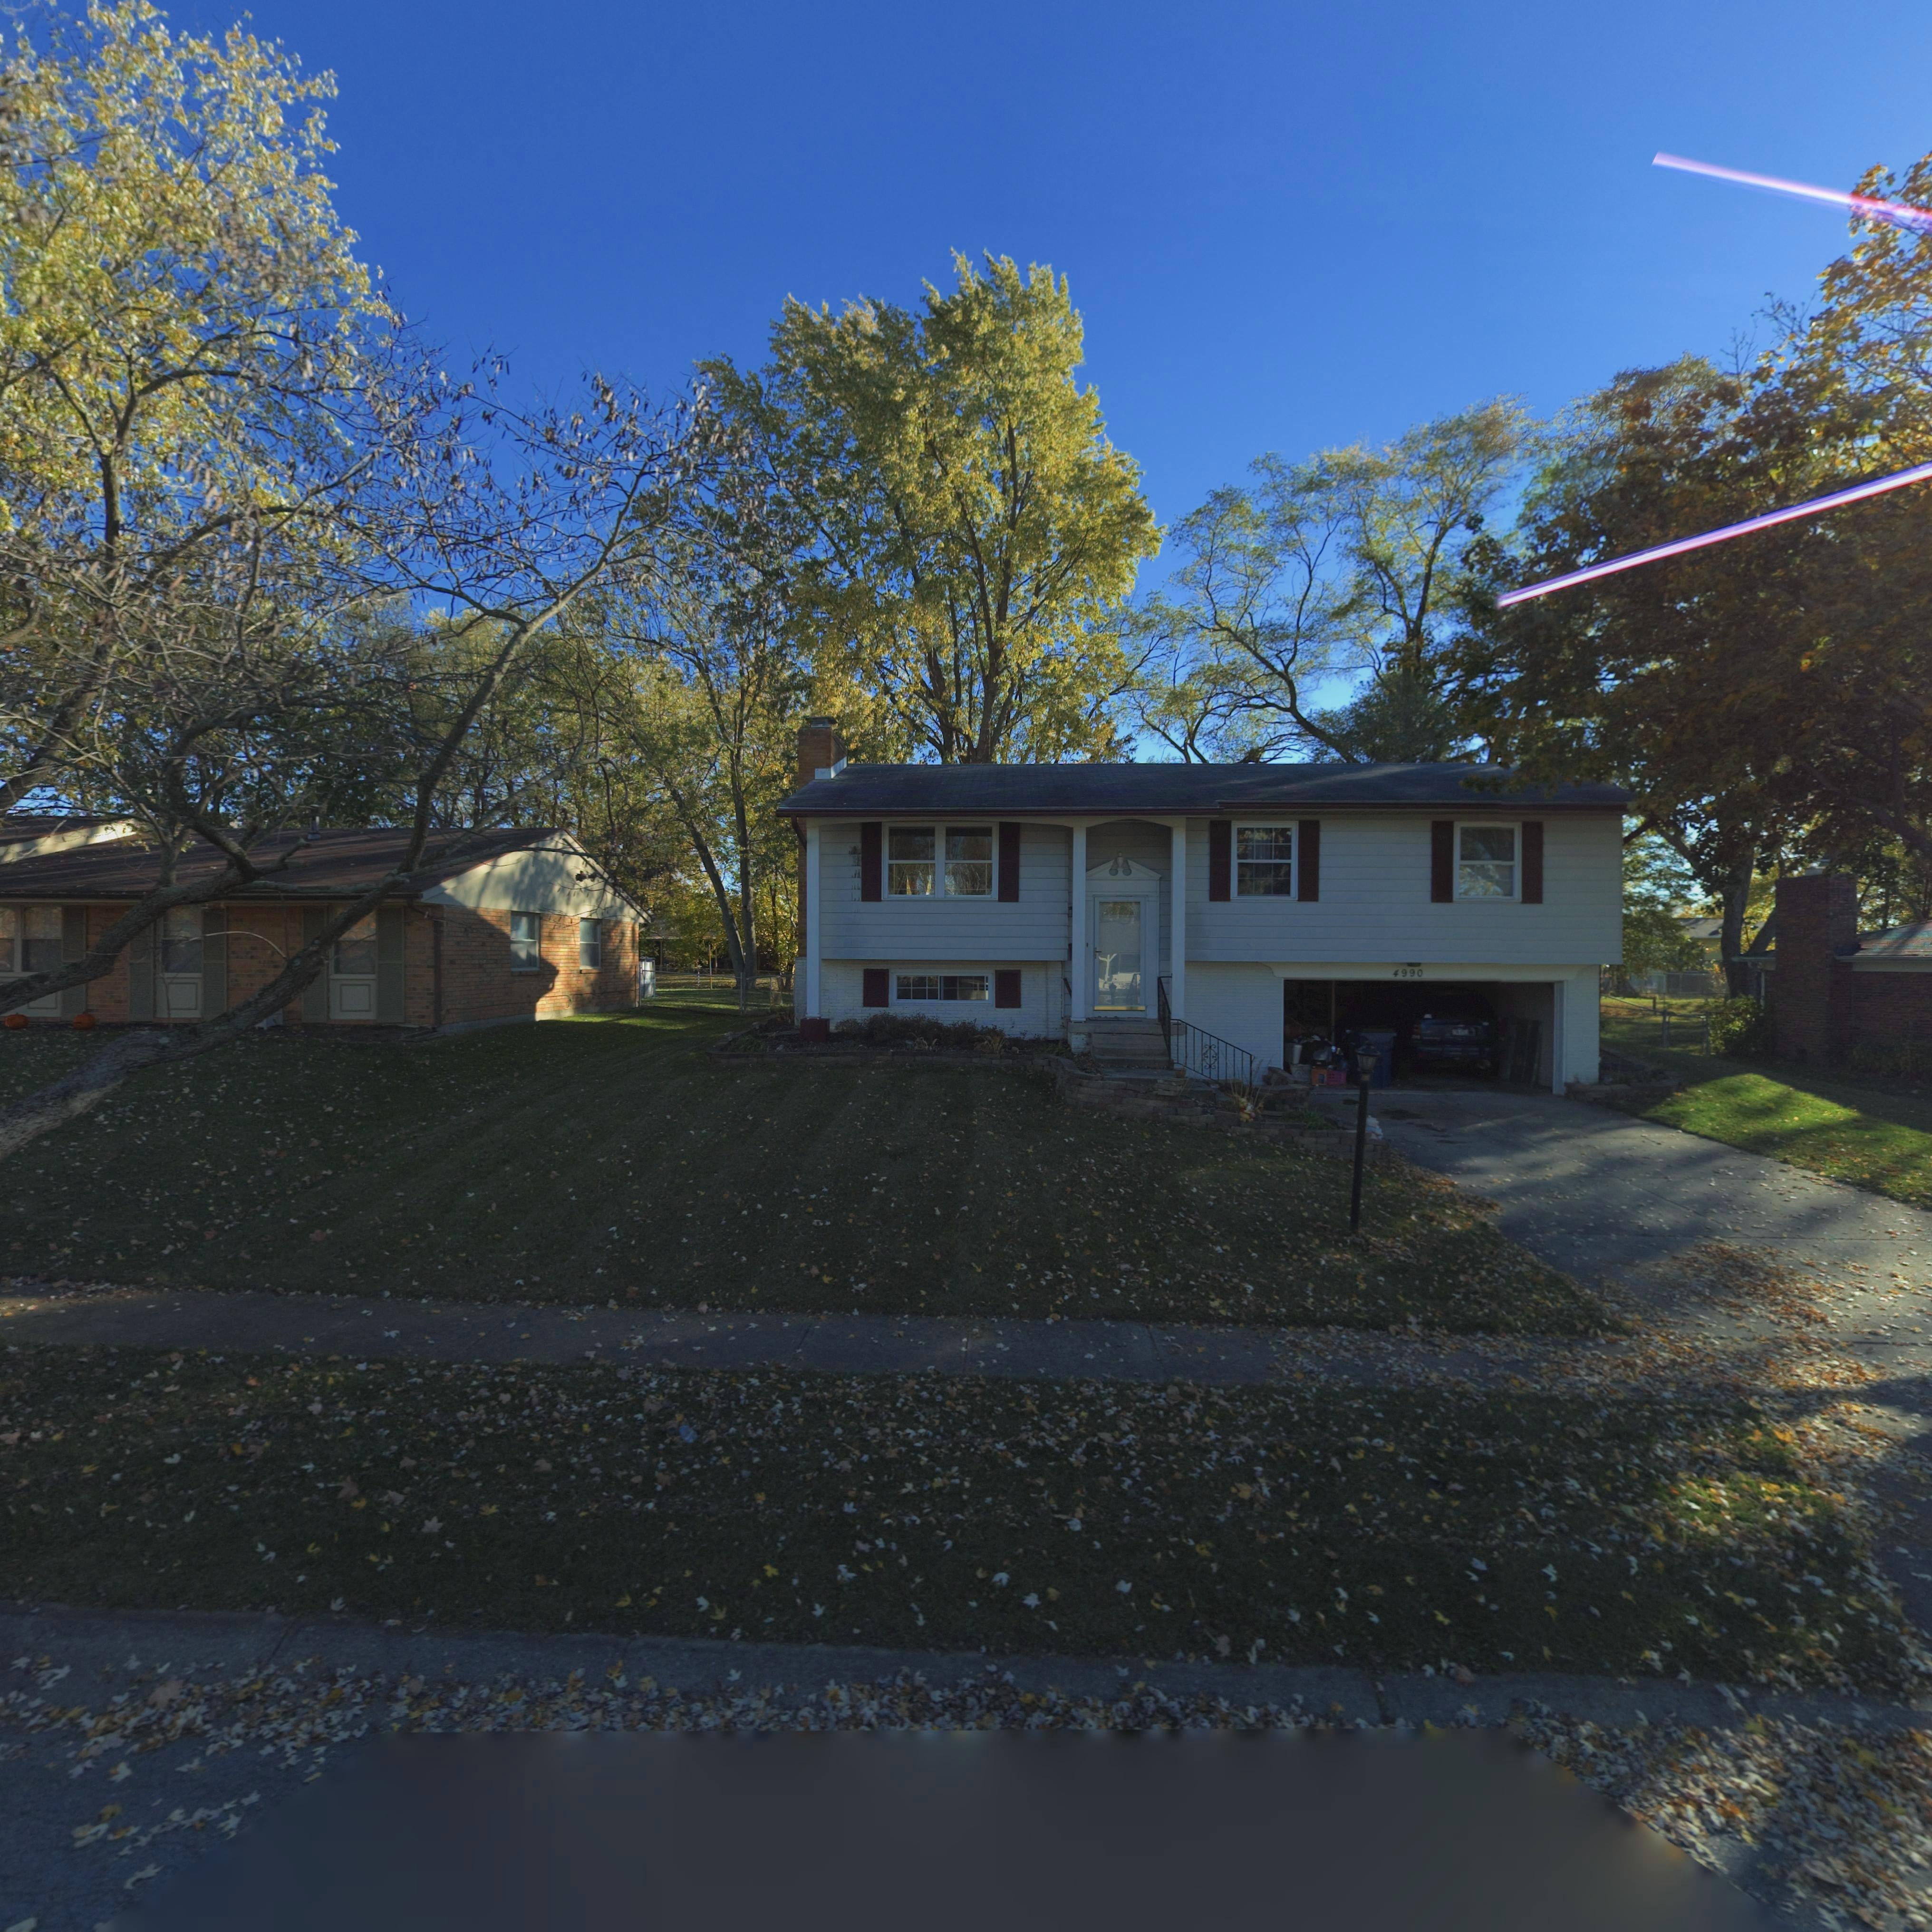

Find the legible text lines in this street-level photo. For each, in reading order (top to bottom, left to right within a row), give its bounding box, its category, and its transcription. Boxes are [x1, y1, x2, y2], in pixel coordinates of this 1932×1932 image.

[1392, 968, 1423, 977] StreetNumber: 4990